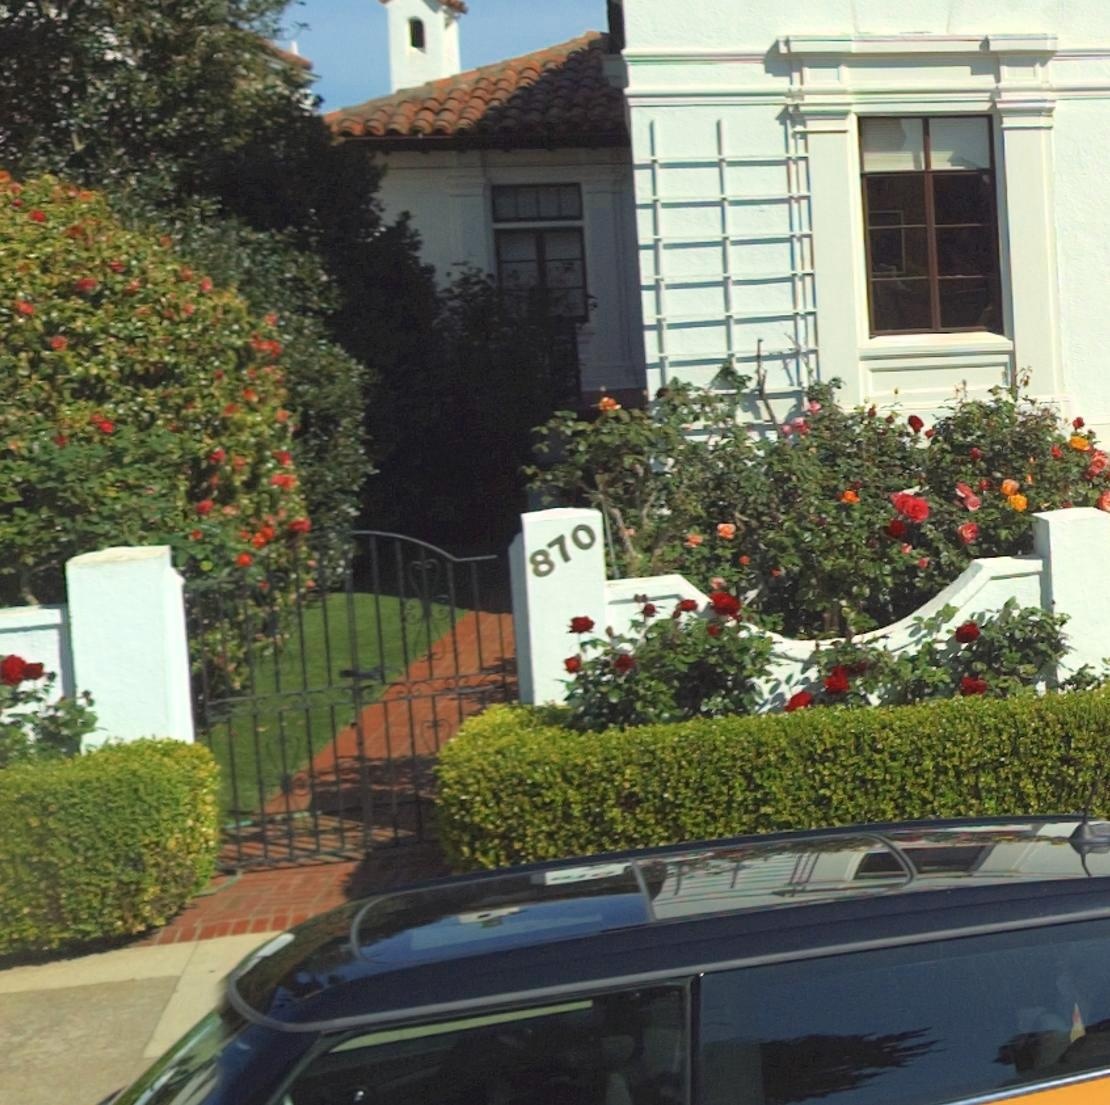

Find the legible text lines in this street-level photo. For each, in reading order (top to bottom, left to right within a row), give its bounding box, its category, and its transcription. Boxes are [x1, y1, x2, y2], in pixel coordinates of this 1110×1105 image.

[521, 513, 604, 589] StreetNumber: 870